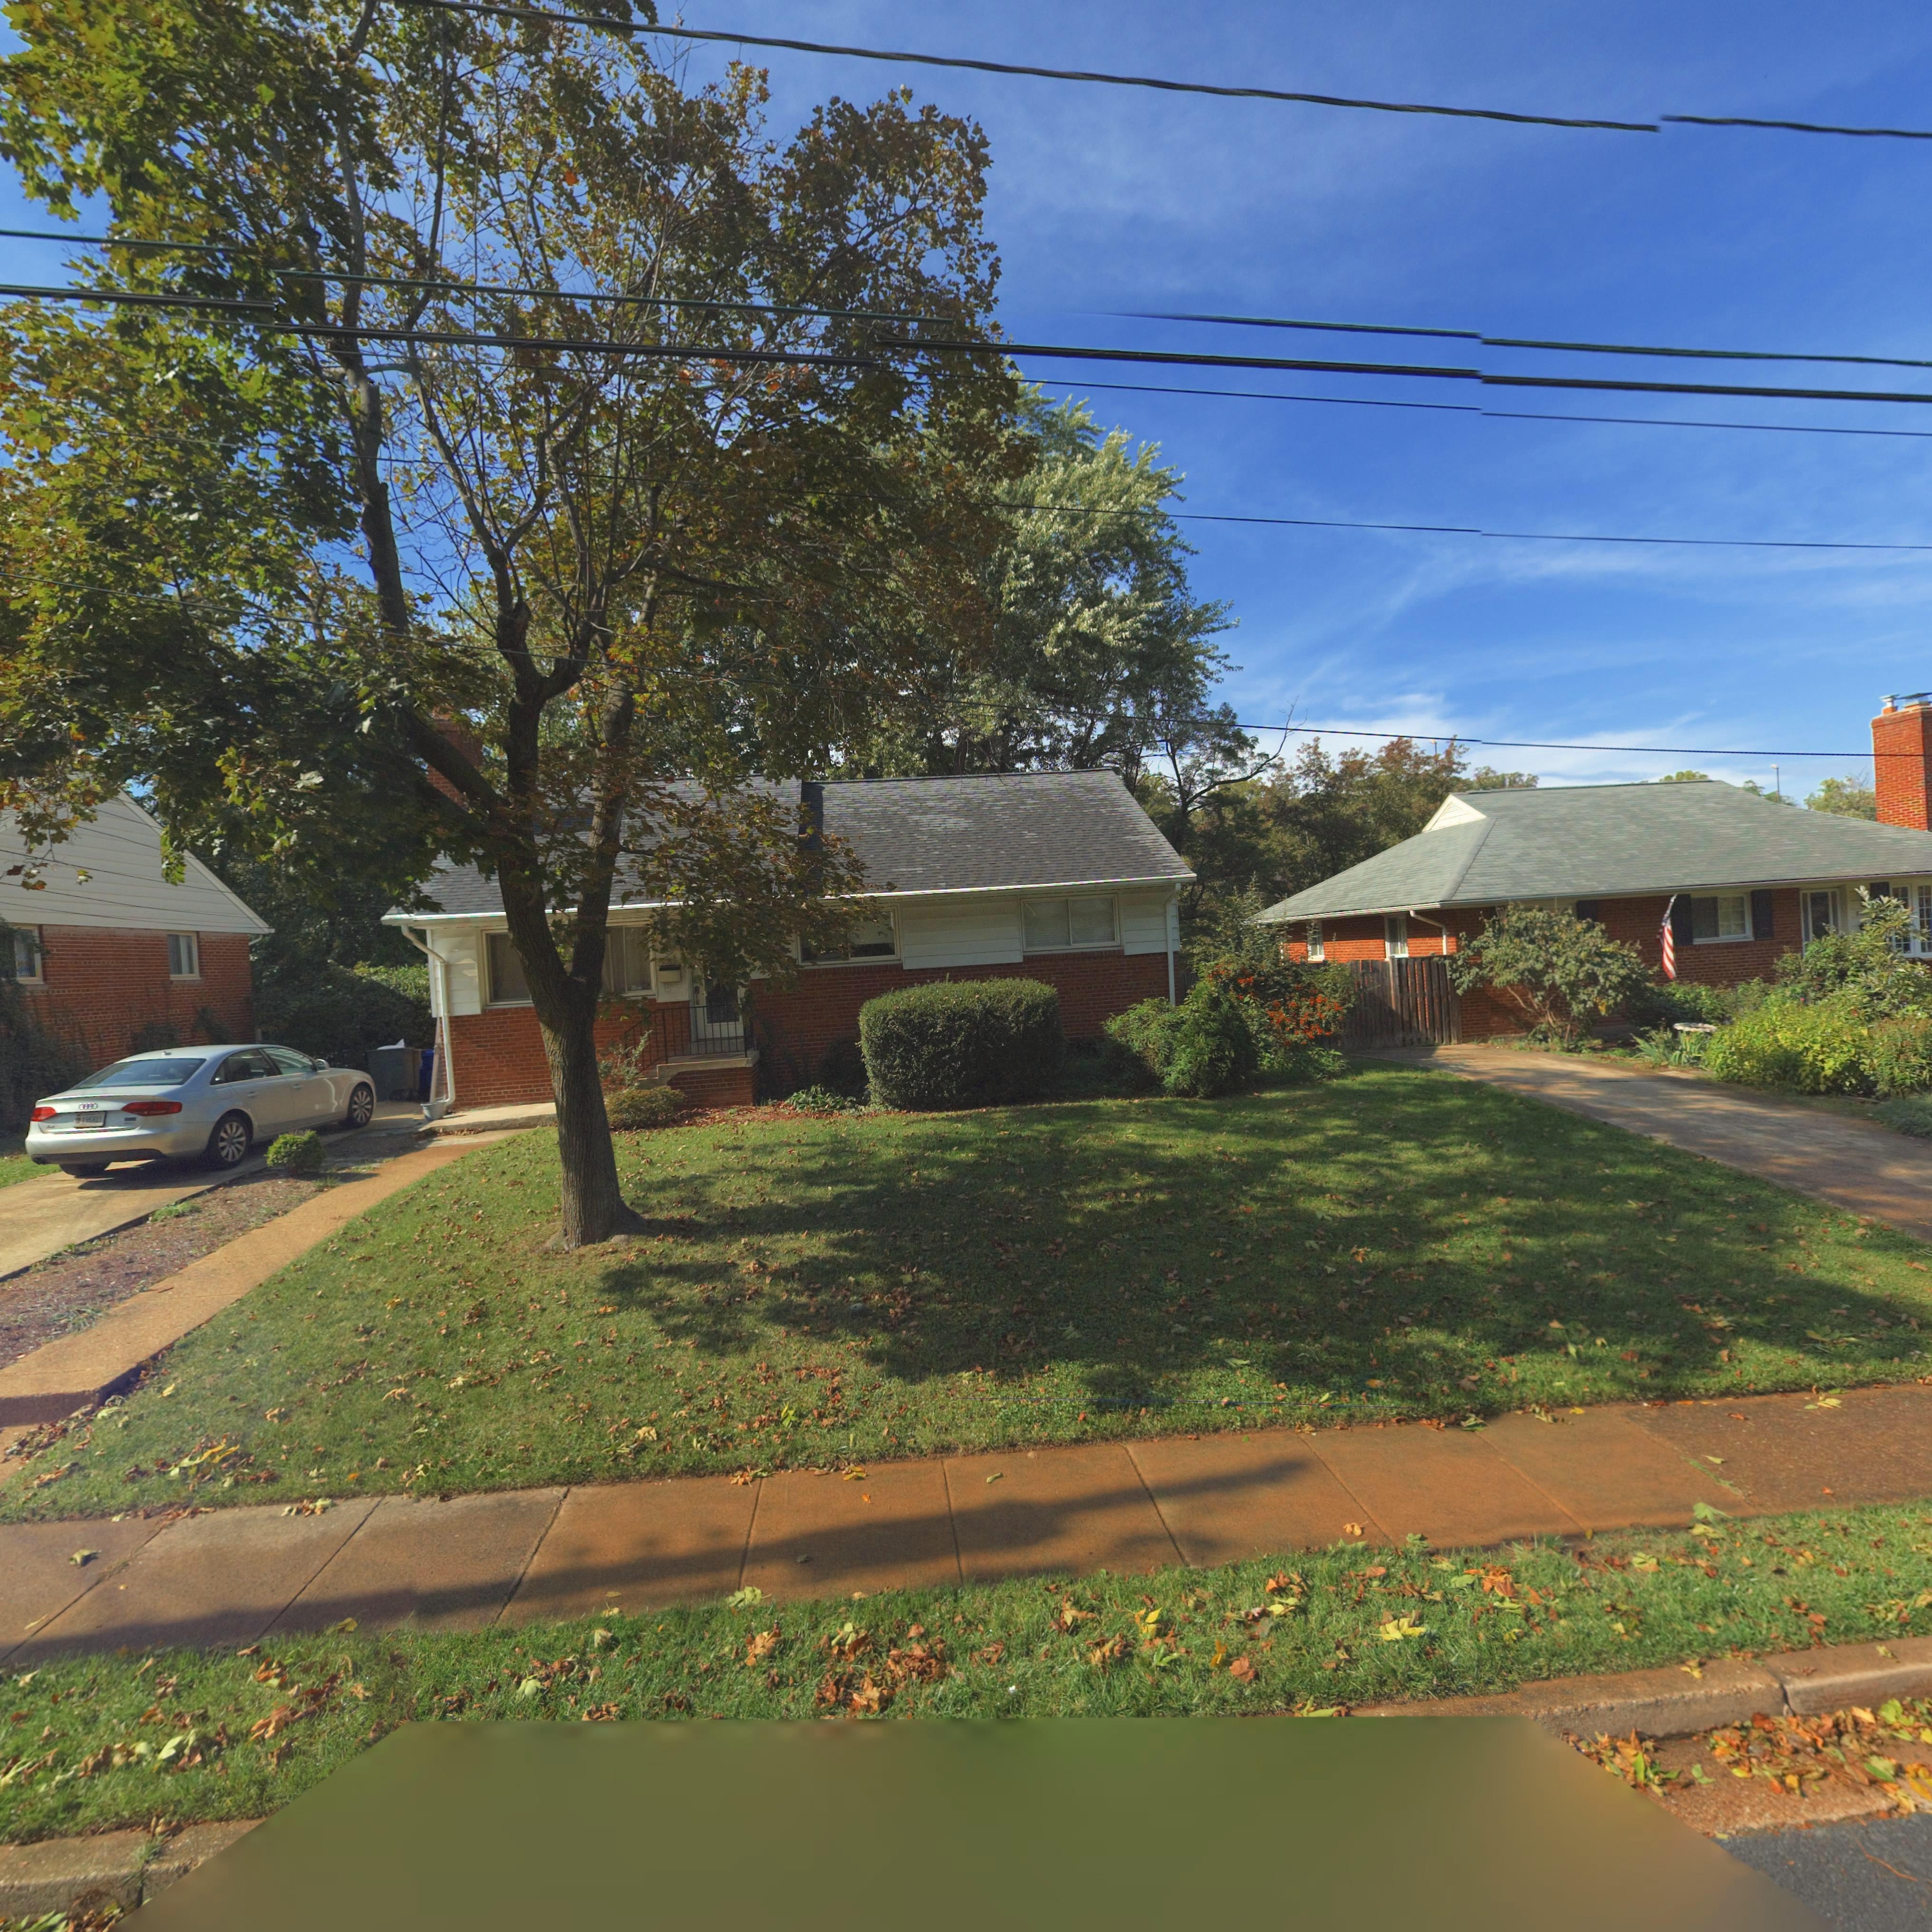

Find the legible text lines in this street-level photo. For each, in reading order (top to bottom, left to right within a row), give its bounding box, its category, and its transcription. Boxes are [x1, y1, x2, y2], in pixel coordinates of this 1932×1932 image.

[661, 957, 677, 963] StreetNumber: ***6
[79, 1116, 102, 1123] None: 485834
[46, 1124, 56, 1128] None: A4